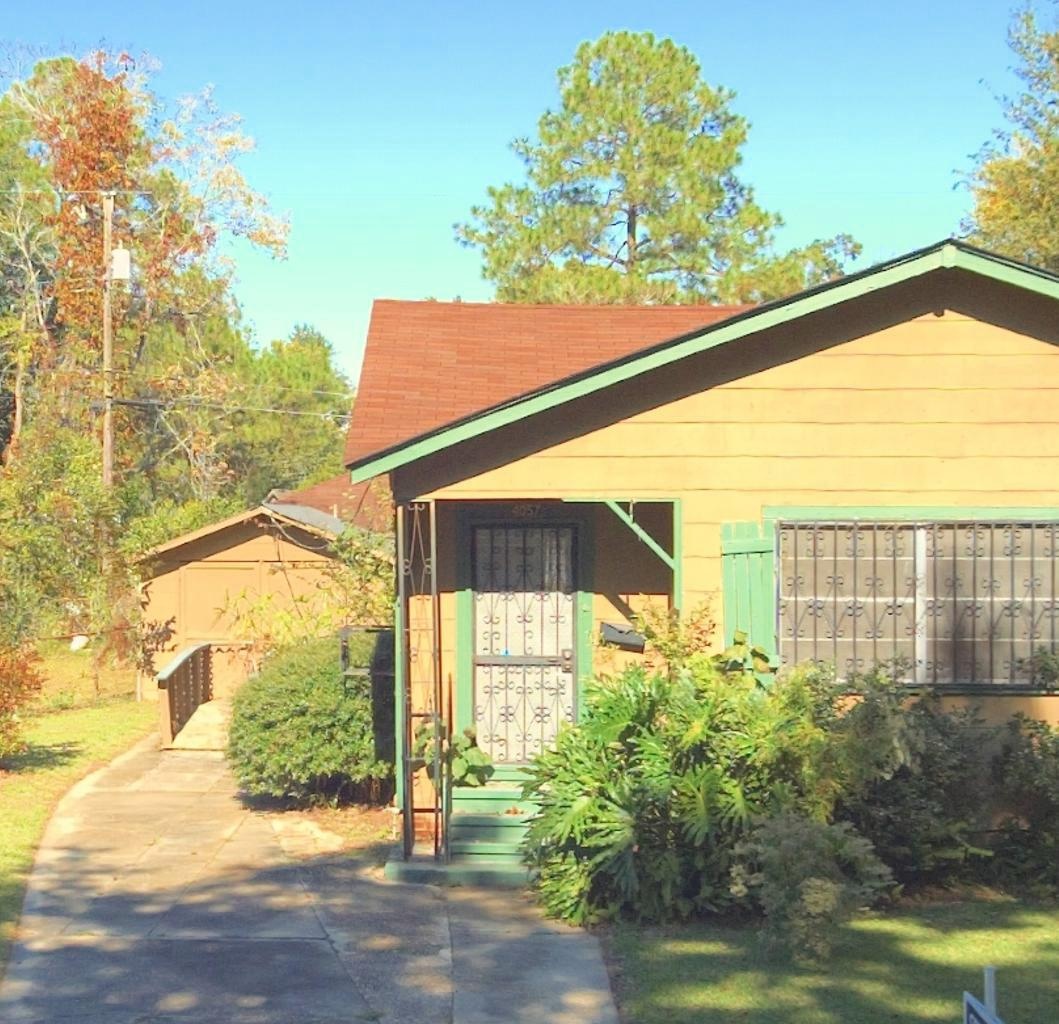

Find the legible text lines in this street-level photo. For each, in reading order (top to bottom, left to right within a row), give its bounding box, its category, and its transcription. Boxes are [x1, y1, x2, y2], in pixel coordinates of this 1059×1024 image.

[510, 503, 542, 517] StreetNumber: 4057